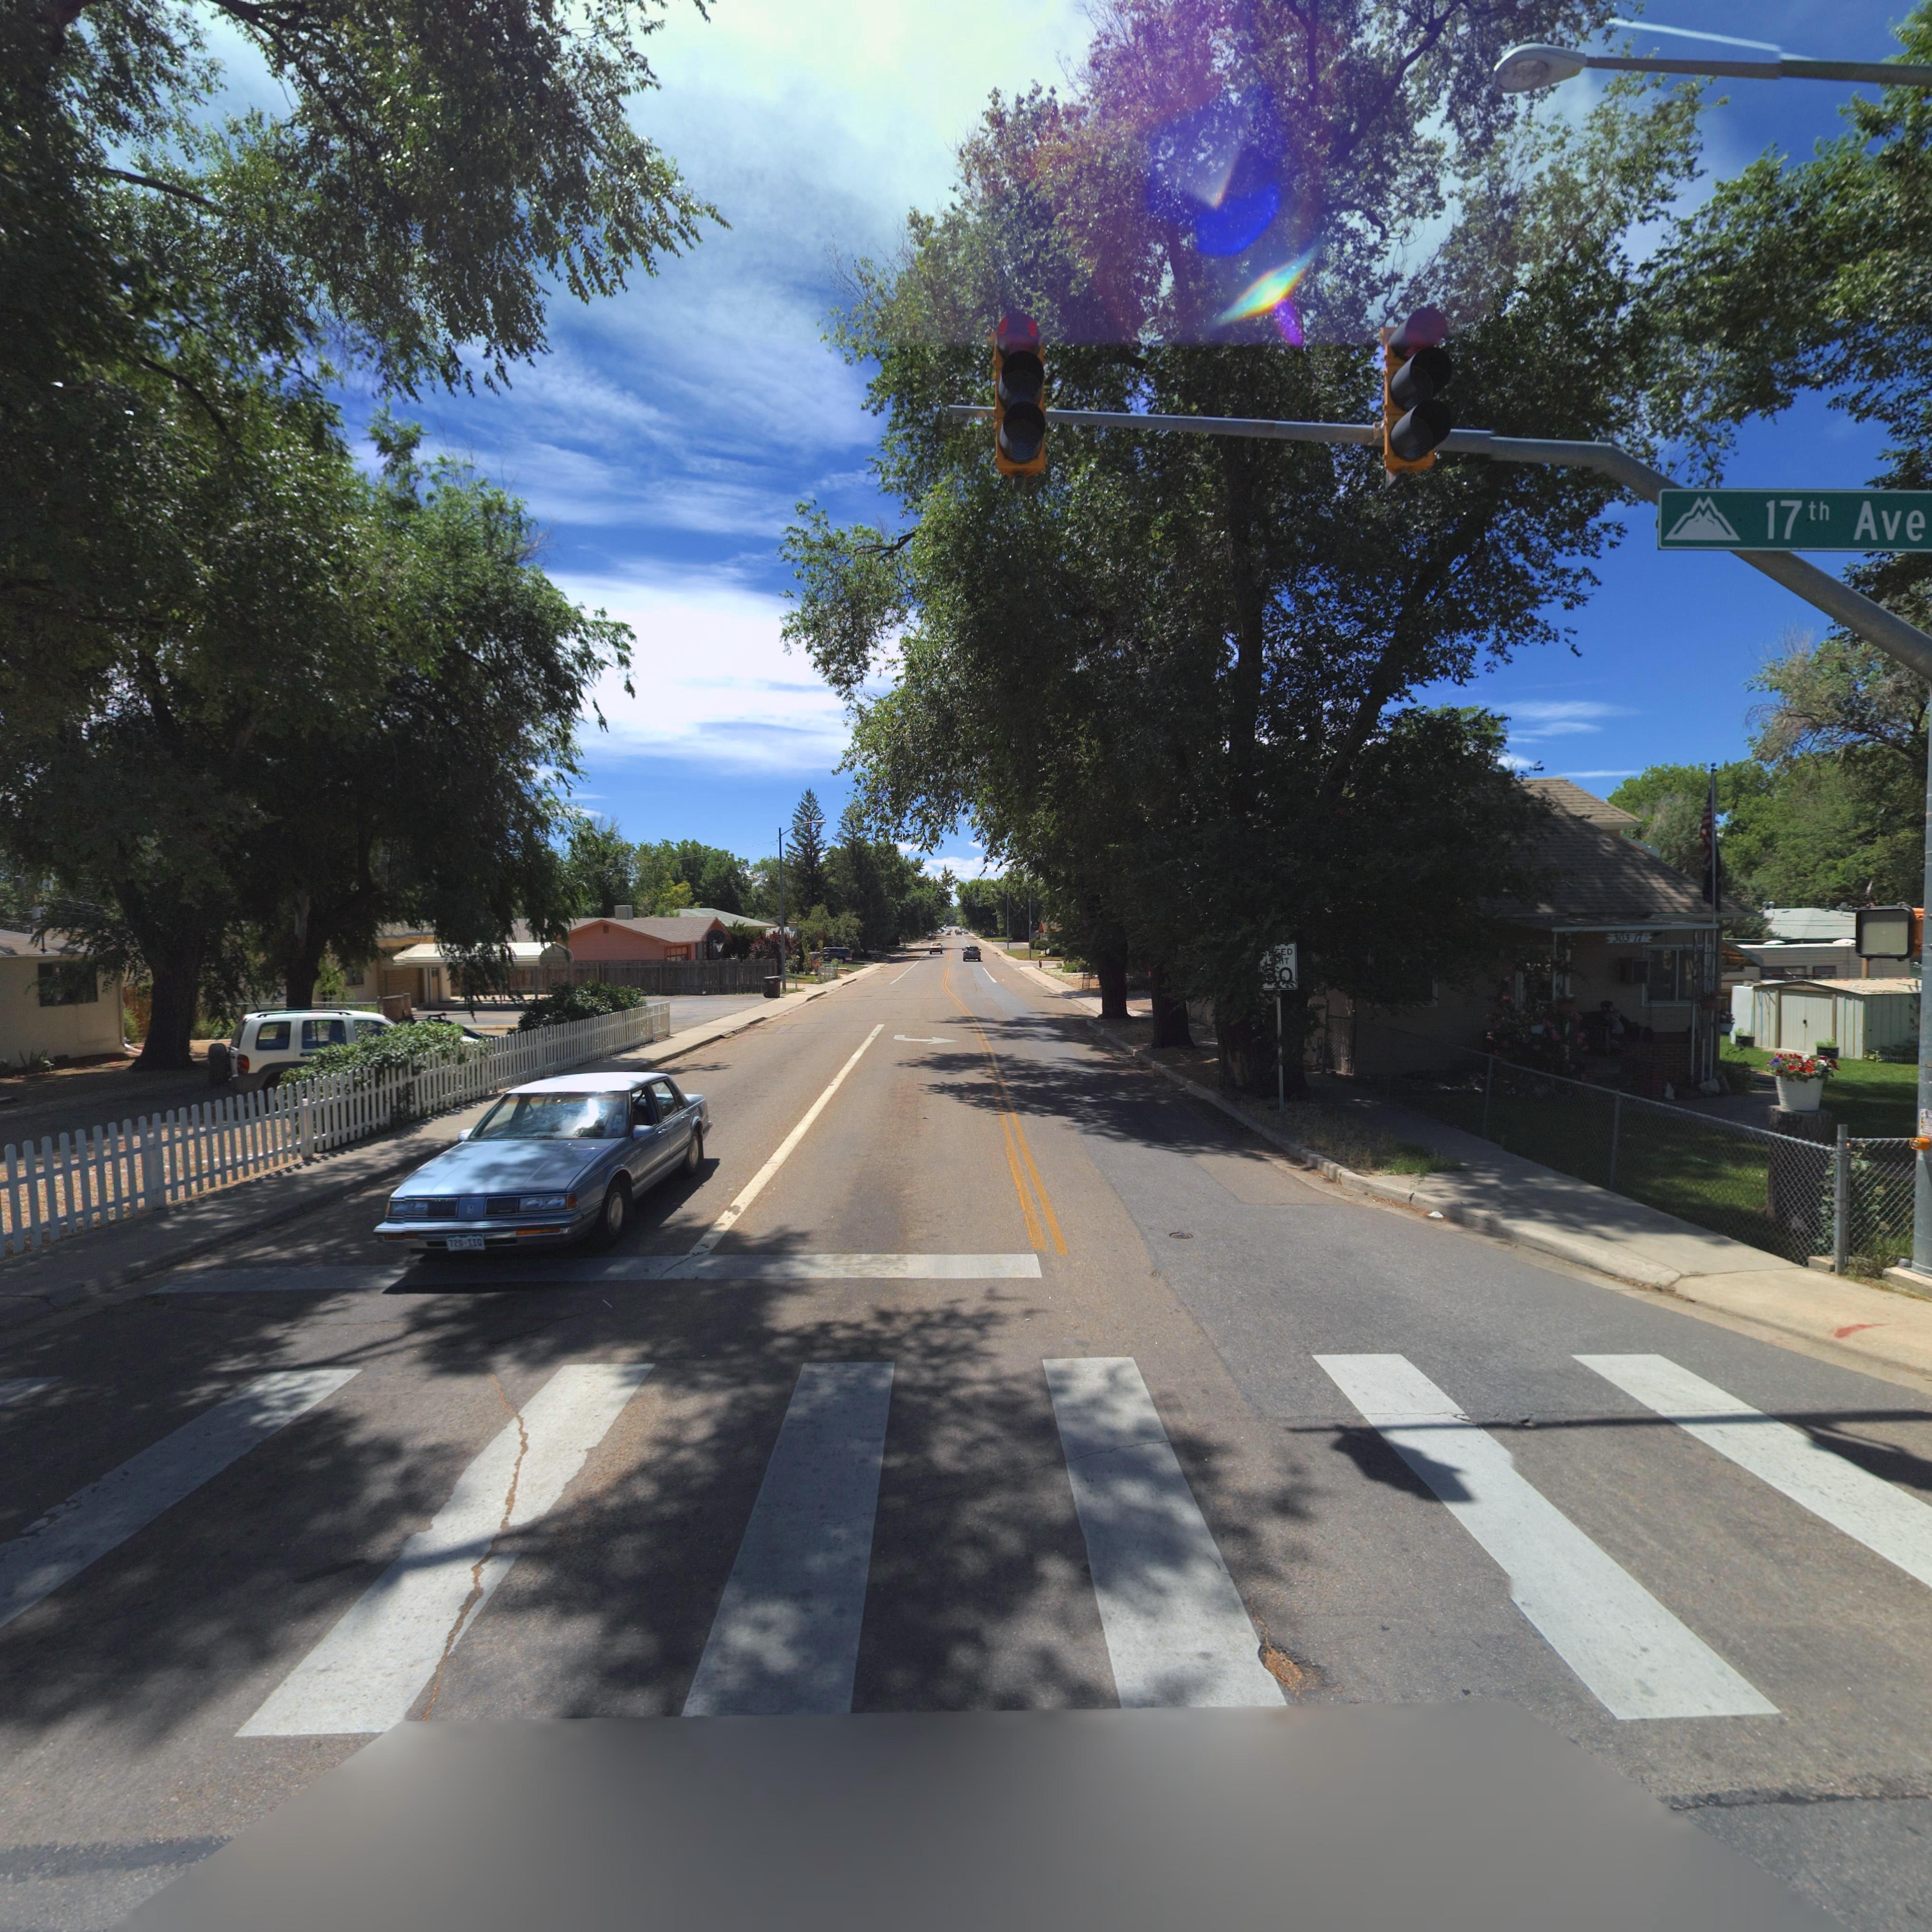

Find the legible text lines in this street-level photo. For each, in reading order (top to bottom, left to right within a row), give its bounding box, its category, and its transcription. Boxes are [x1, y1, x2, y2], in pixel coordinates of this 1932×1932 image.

[1764, 498, 1927, 542] StreetName: 17th Ave
[1613, 934, 1630, 942] StreetNumber: 303
[1633, 934, 1642, 942] StreetNumber: 17